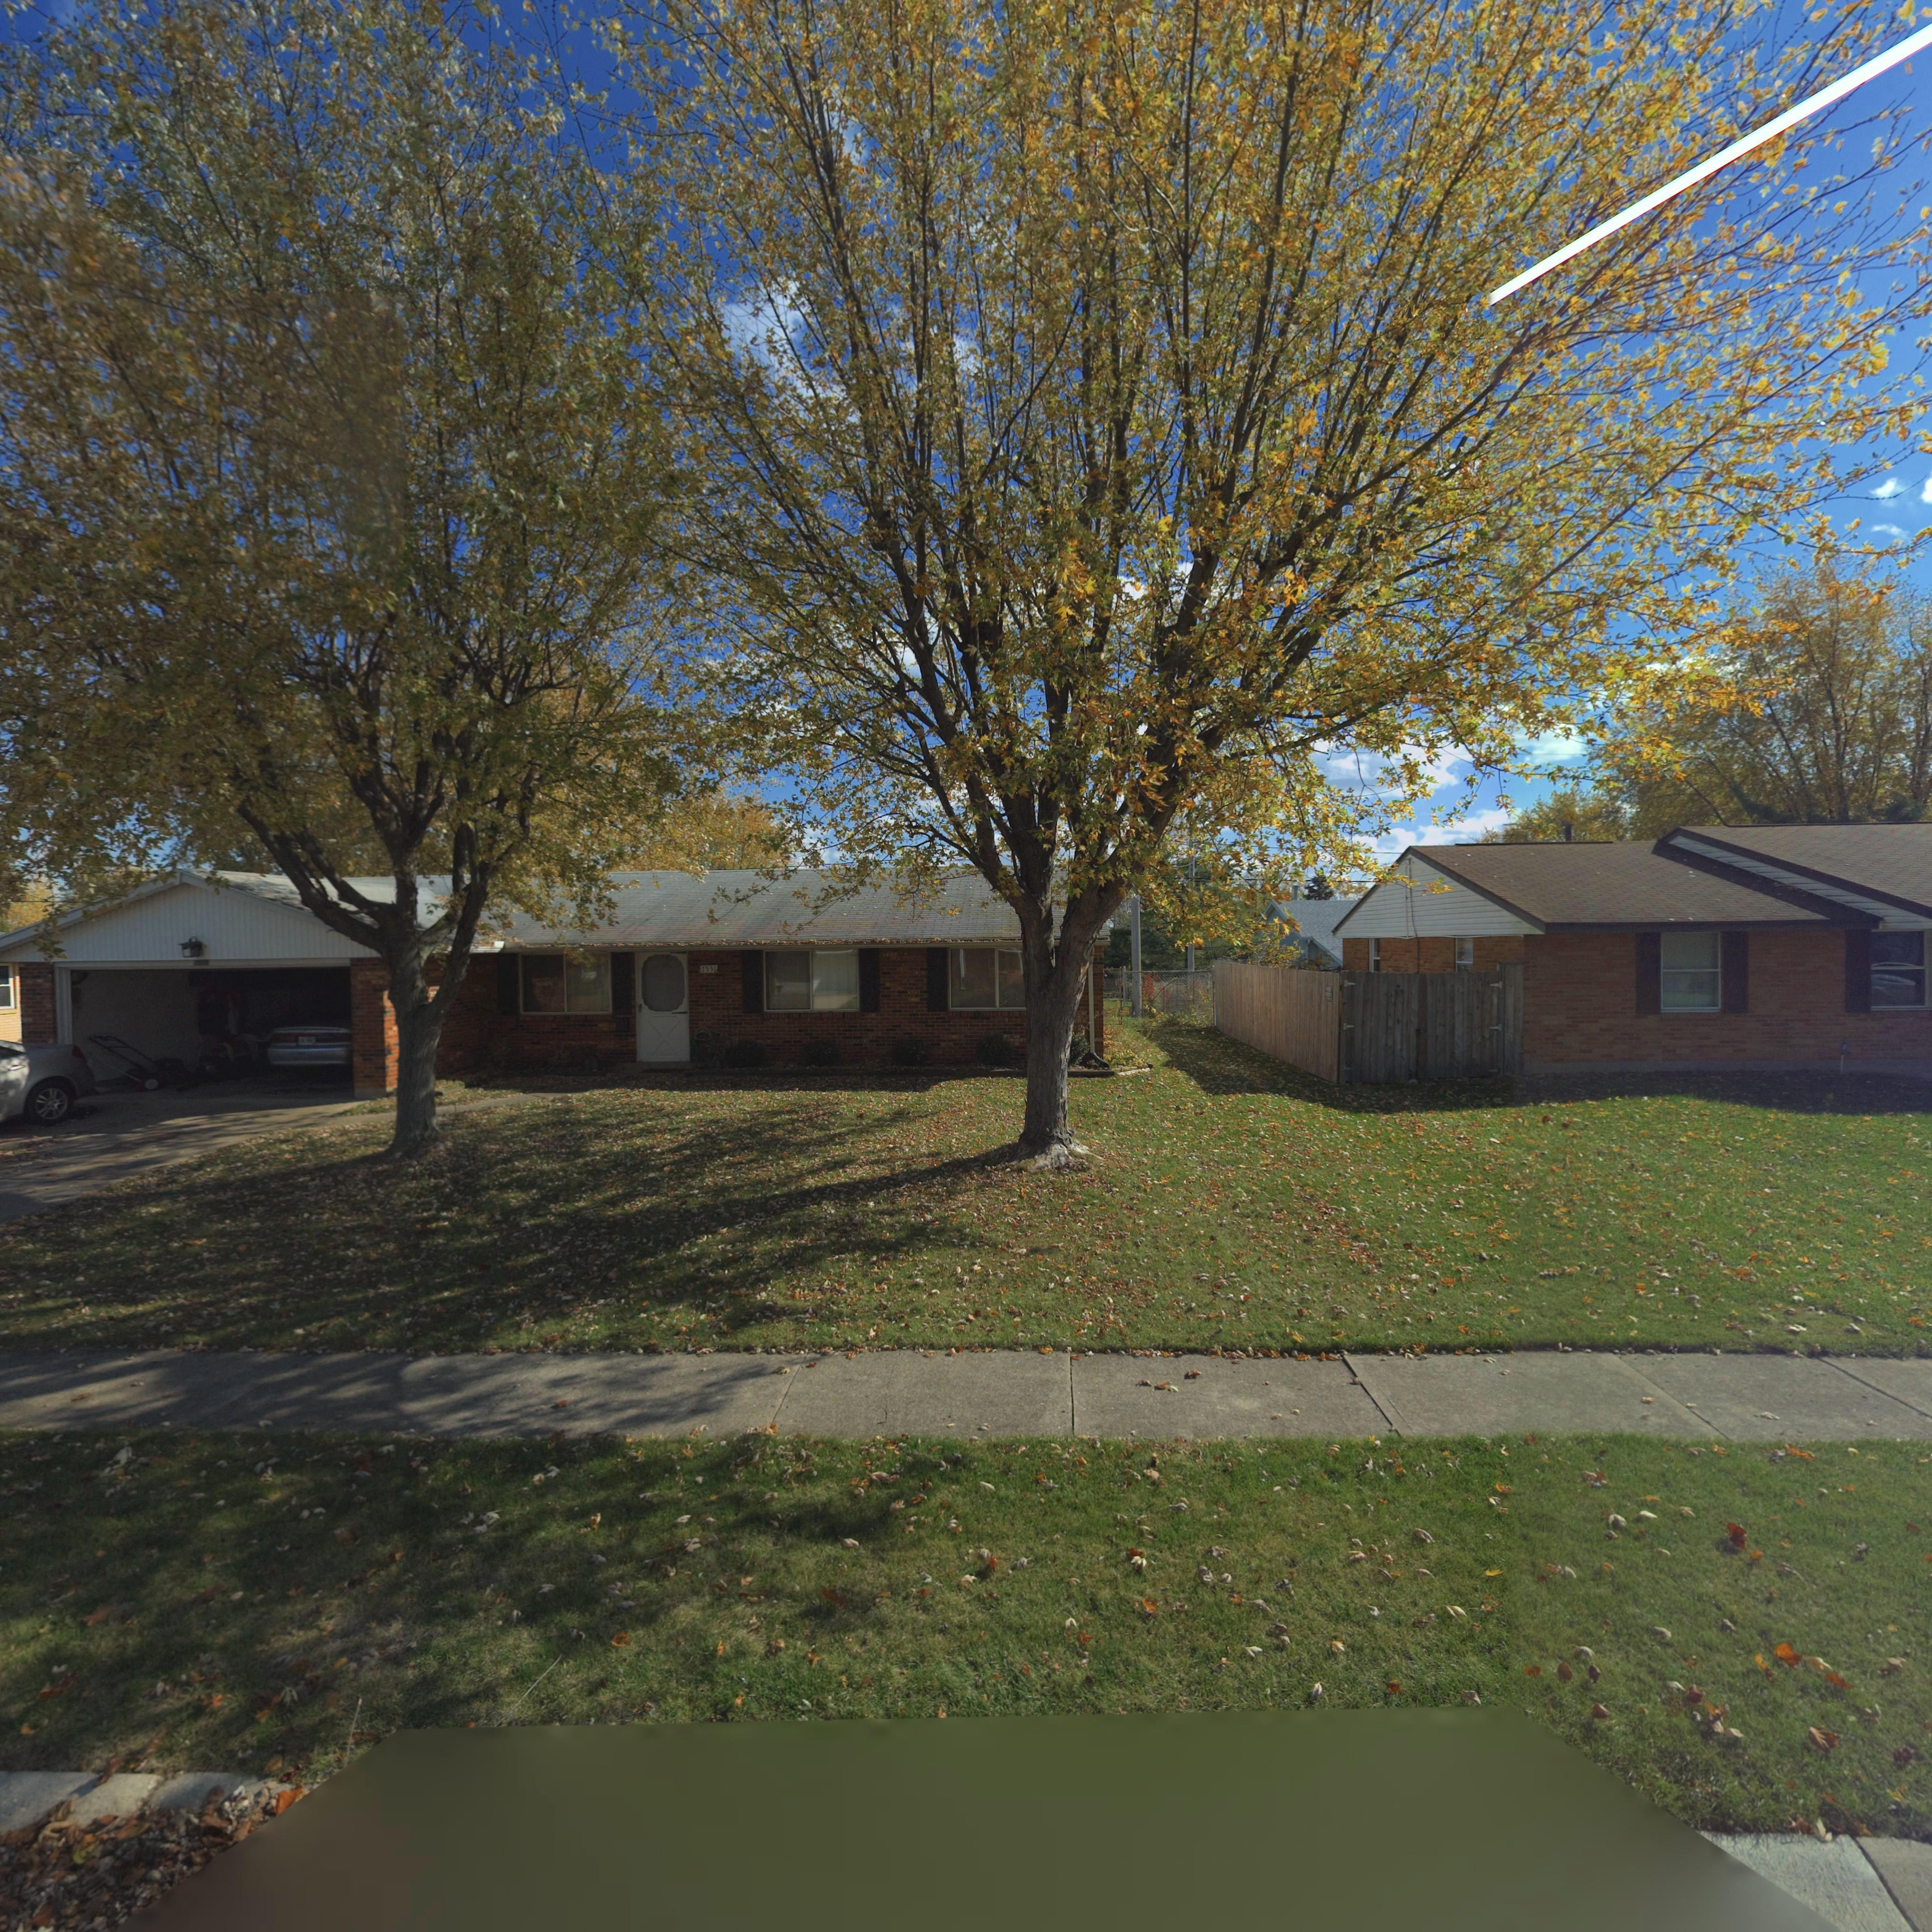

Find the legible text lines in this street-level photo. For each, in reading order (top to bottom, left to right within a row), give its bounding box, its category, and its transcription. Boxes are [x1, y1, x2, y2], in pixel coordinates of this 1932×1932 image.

[701, 965, 716, 974] StreetNumber: 7551